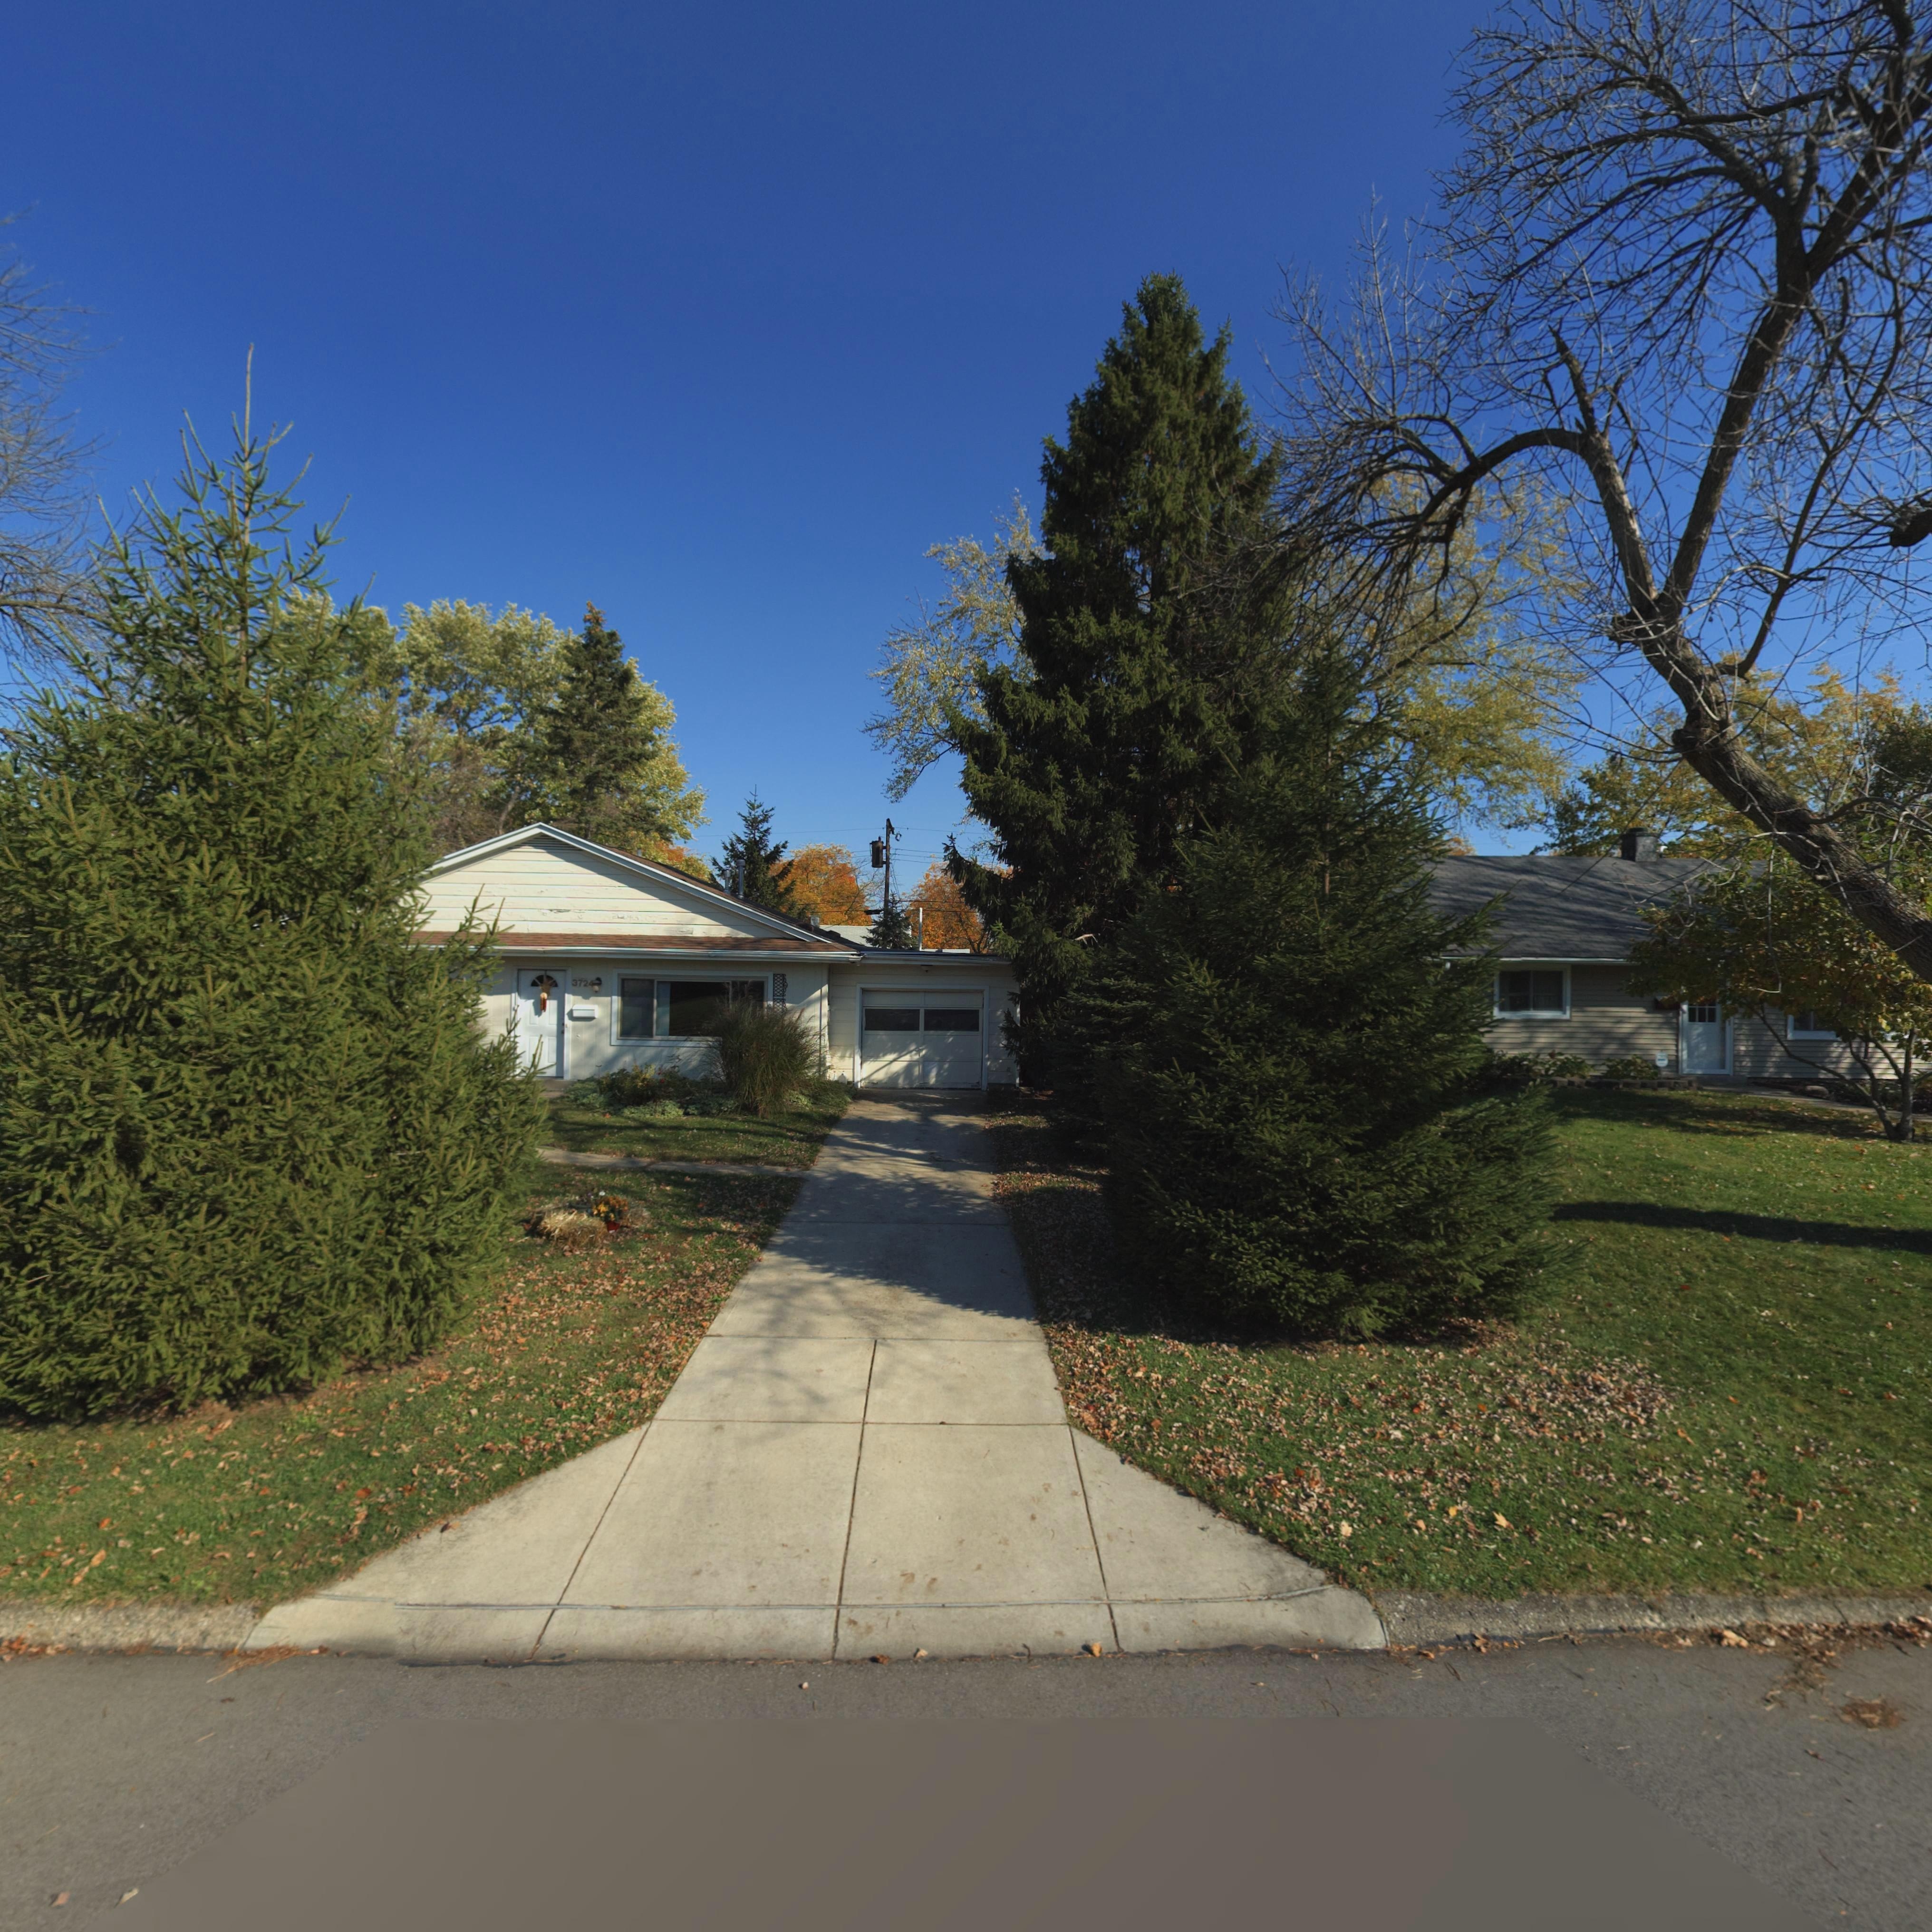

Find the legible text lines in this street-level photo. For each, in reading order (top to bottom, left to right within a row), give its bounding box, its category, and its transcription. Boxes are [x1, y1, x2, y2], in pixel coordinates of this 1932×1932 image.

[571, 978, 594, 987] StreetNumber: 3724